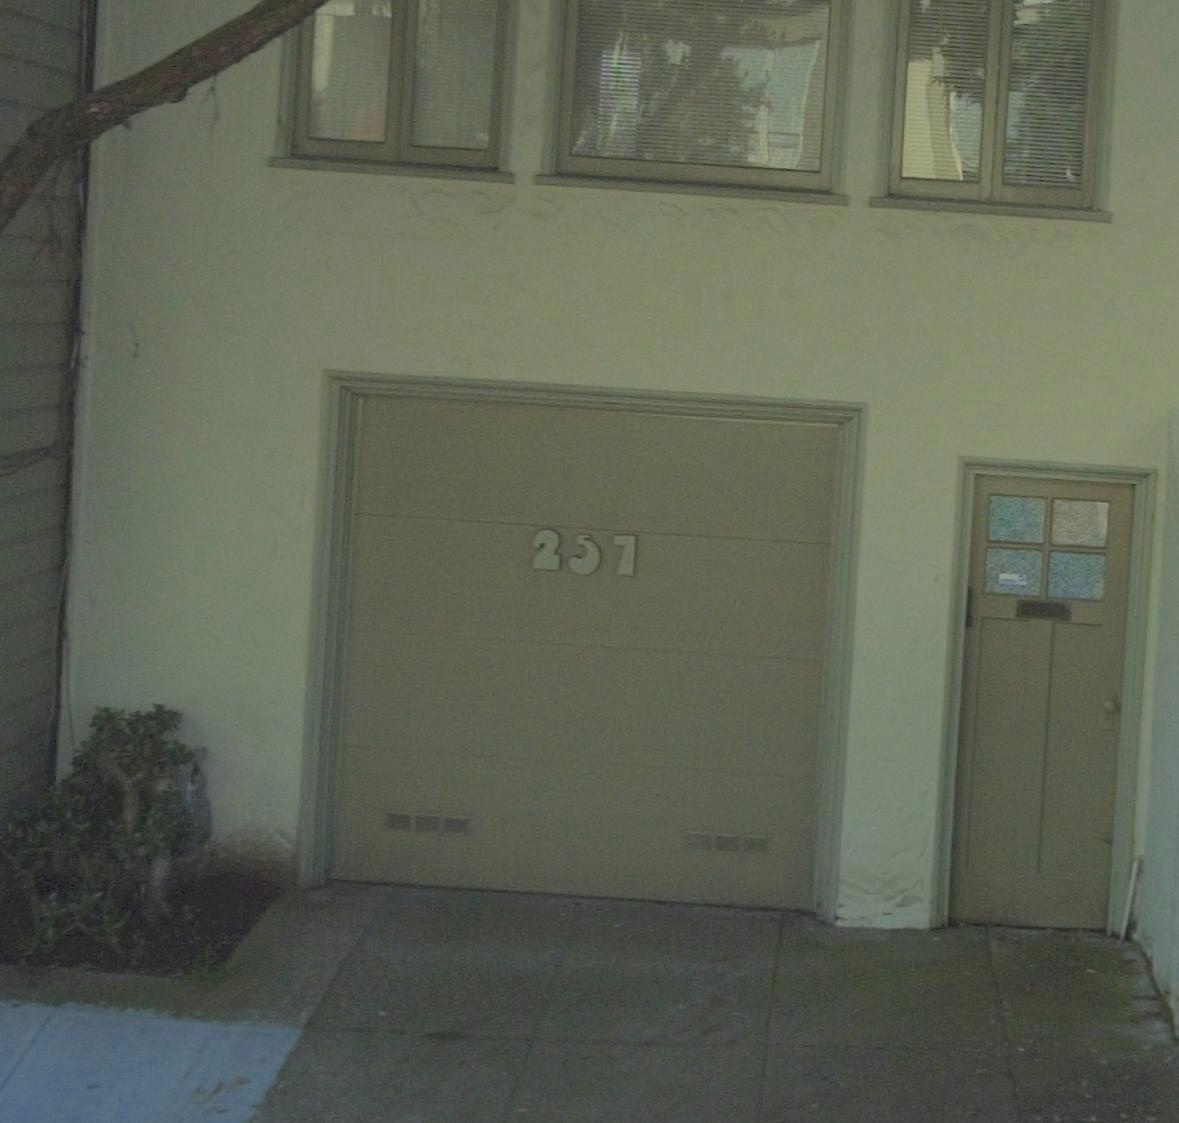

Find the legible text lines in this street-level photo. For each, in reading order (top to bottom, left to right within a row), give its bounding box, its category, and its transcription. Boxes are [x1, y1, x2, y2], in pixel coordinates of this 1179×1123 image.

[531, 527, 640, 579] StreetNumber: 257